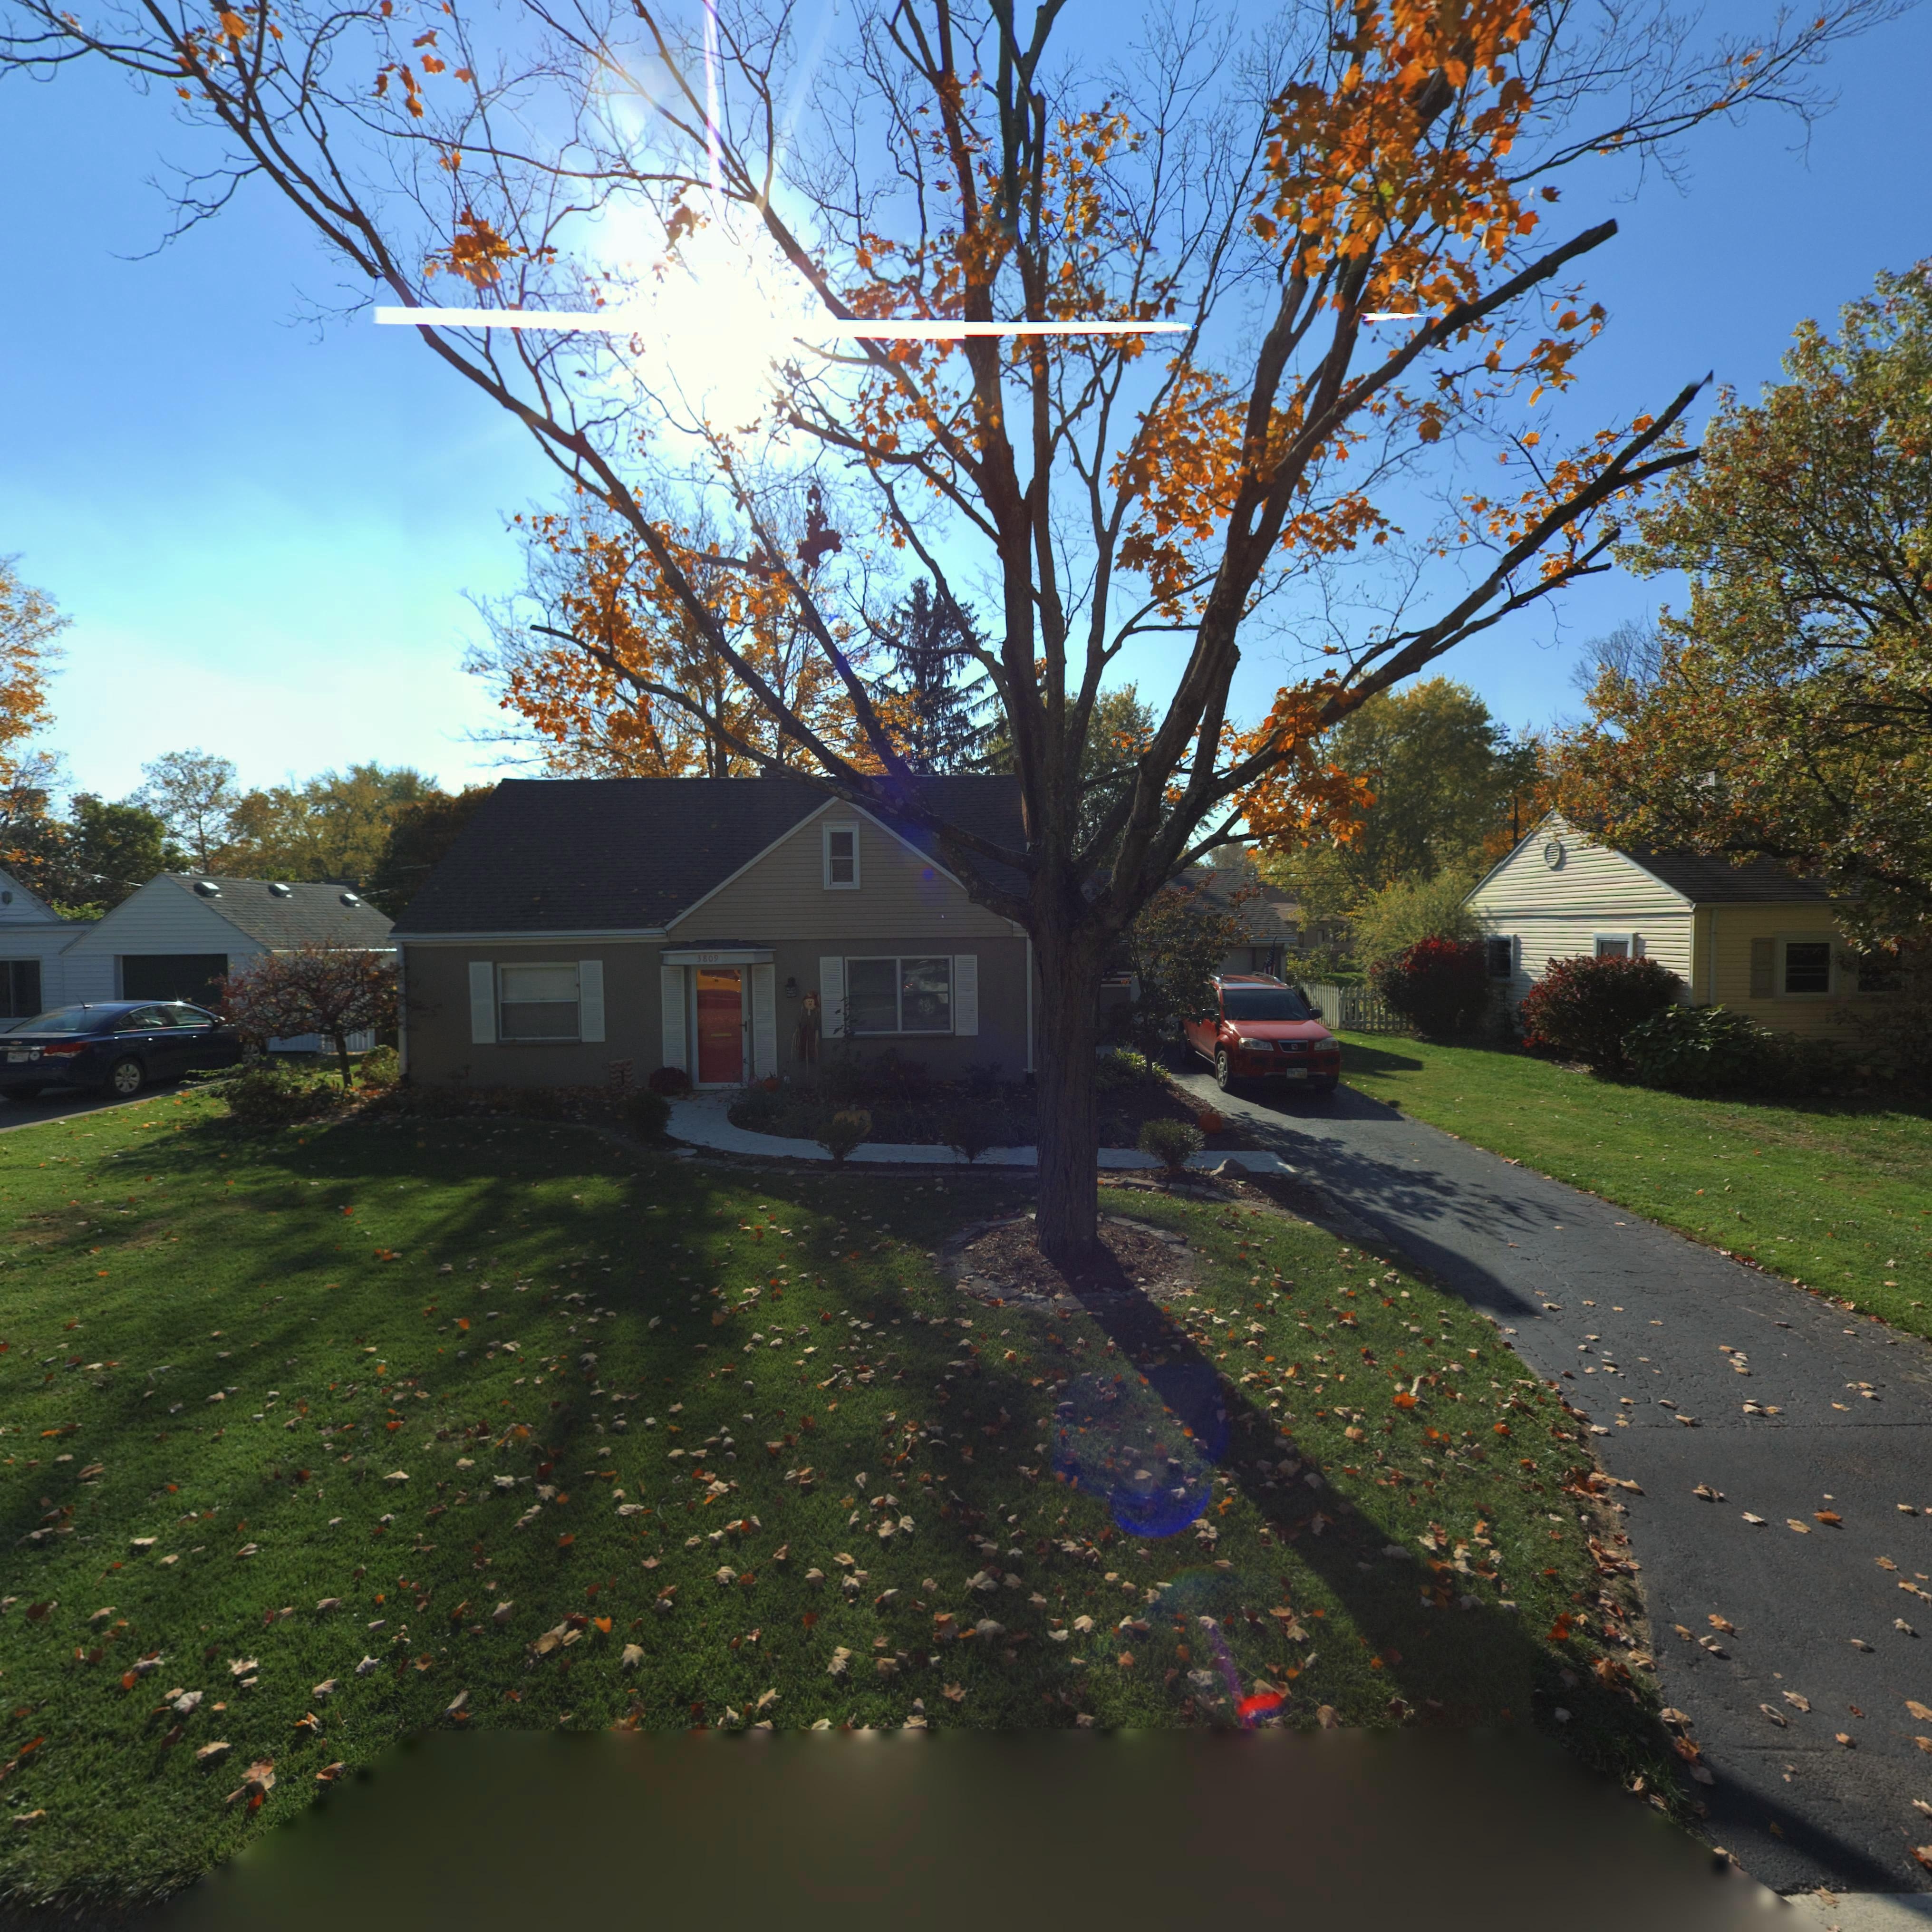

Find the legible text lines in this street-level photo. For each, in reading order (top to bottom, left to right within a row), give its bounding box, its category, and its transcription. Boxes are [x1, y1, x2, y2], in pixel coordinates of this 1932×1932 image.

[696, 954, 720, 963] StreetNumber: 3809